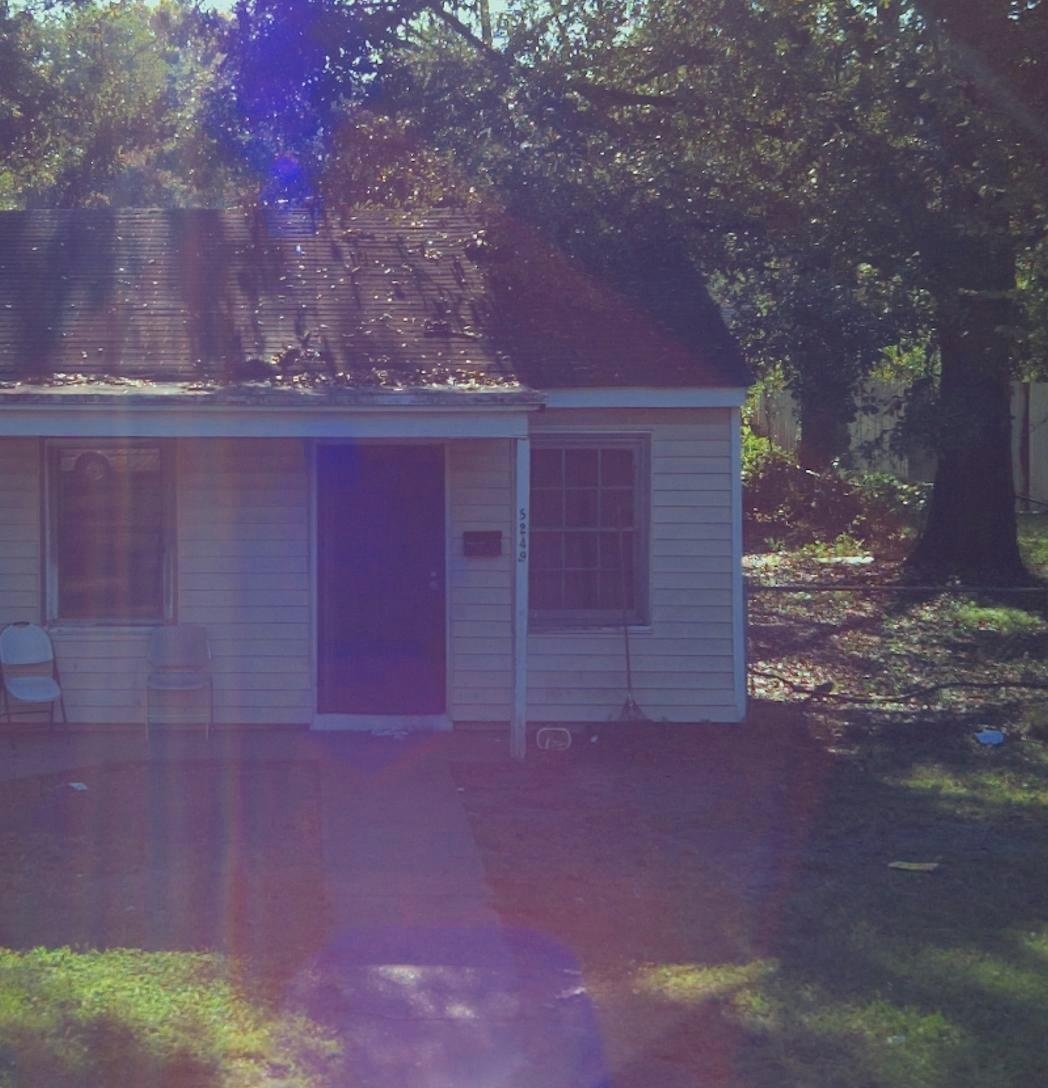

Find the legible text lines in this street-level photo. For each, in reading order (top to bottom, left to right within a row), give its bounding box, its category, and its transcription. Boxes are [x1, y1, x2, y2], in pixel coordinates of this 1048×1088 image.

[517, 507, 527, 563] StreetNumber: 5249